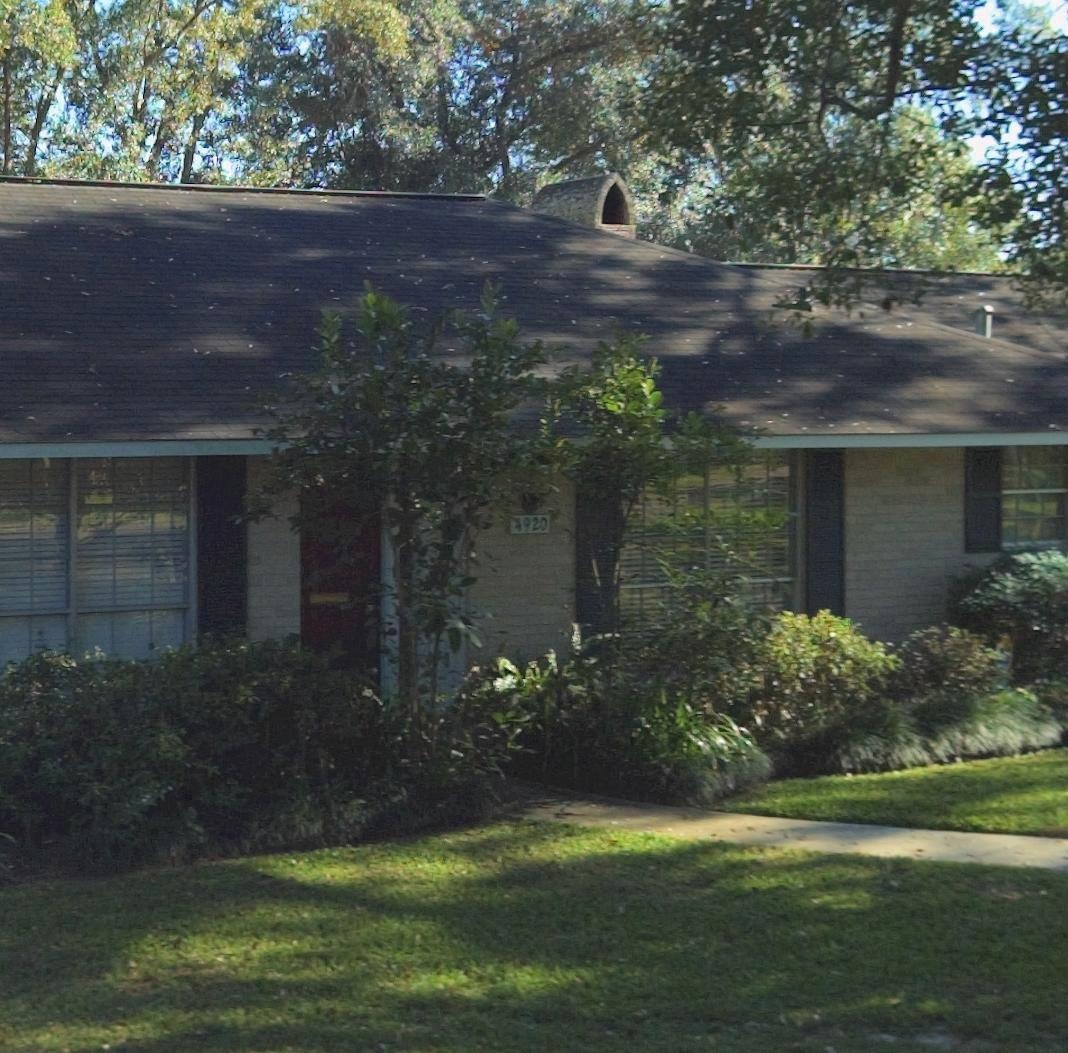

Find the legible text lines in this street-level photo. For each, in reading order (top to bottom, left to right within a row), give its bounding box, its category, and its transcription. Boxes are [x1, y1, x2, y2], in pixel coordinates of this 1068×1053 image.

[512, 514, 550, 534] StreetNumber: *920